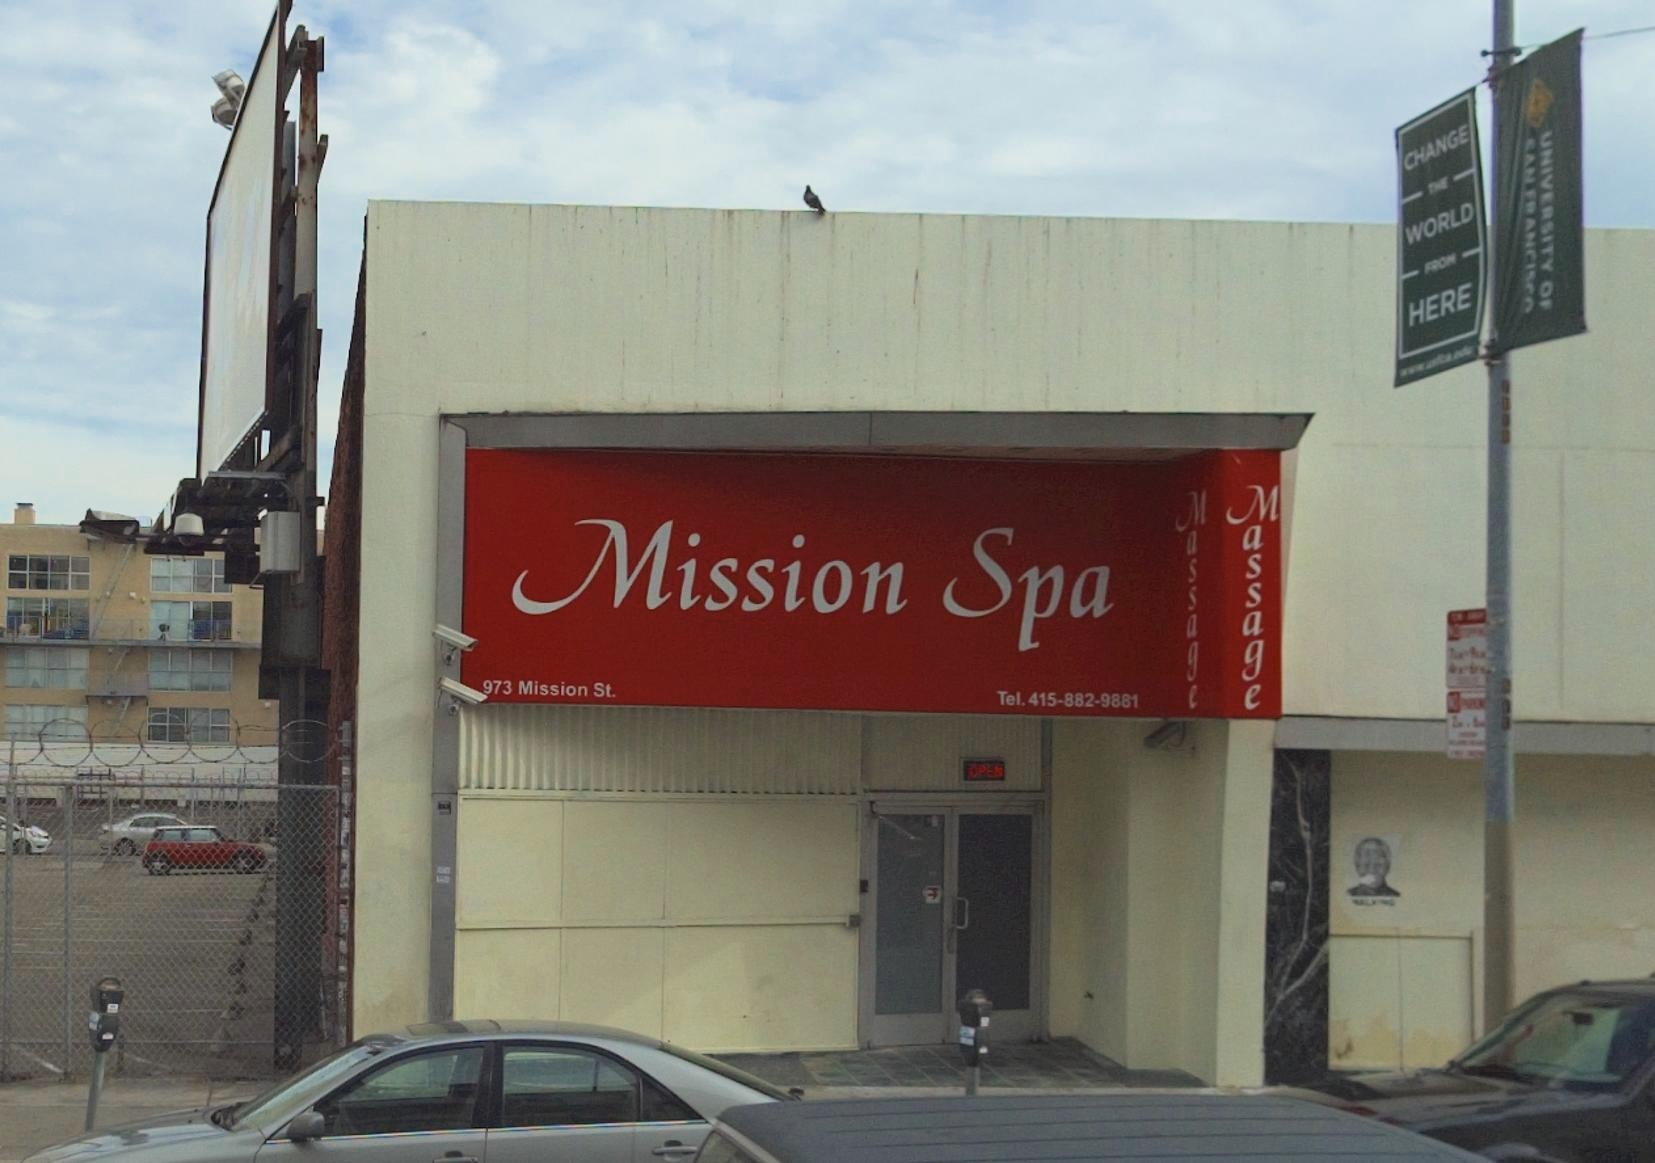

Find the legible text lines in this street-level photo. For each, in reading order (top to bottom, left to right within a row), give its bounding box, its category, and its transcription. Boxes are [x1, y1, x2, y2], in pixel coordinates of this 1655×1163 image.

[1400, 118, 1472, 174] None: CHANGE
[1423, 172, 1452, 198] None: THE
[1401, 199, 1479, 250] None: WORLD
[1536, 124, 1557, 313] None: UNIVERSITY OF
[1420, 247, 1460, 280] None: FROM
[1406, 277, 1474, 332] None: HERE
[564, 512, 1120, 656] BusinessName: Mission Spa
[1183, 482, 1210, 715] None: Massage
[1238, 478, 1282, 715] None: Massage
[480, 676, 515, 698] StreetNumber: 973
[516, 676, 618, 700] StreetName: Mission St.
[993, 688, 1141, 711] None: Tel. 415-882-9881
[965, 760, 1006, 781] None: OP**